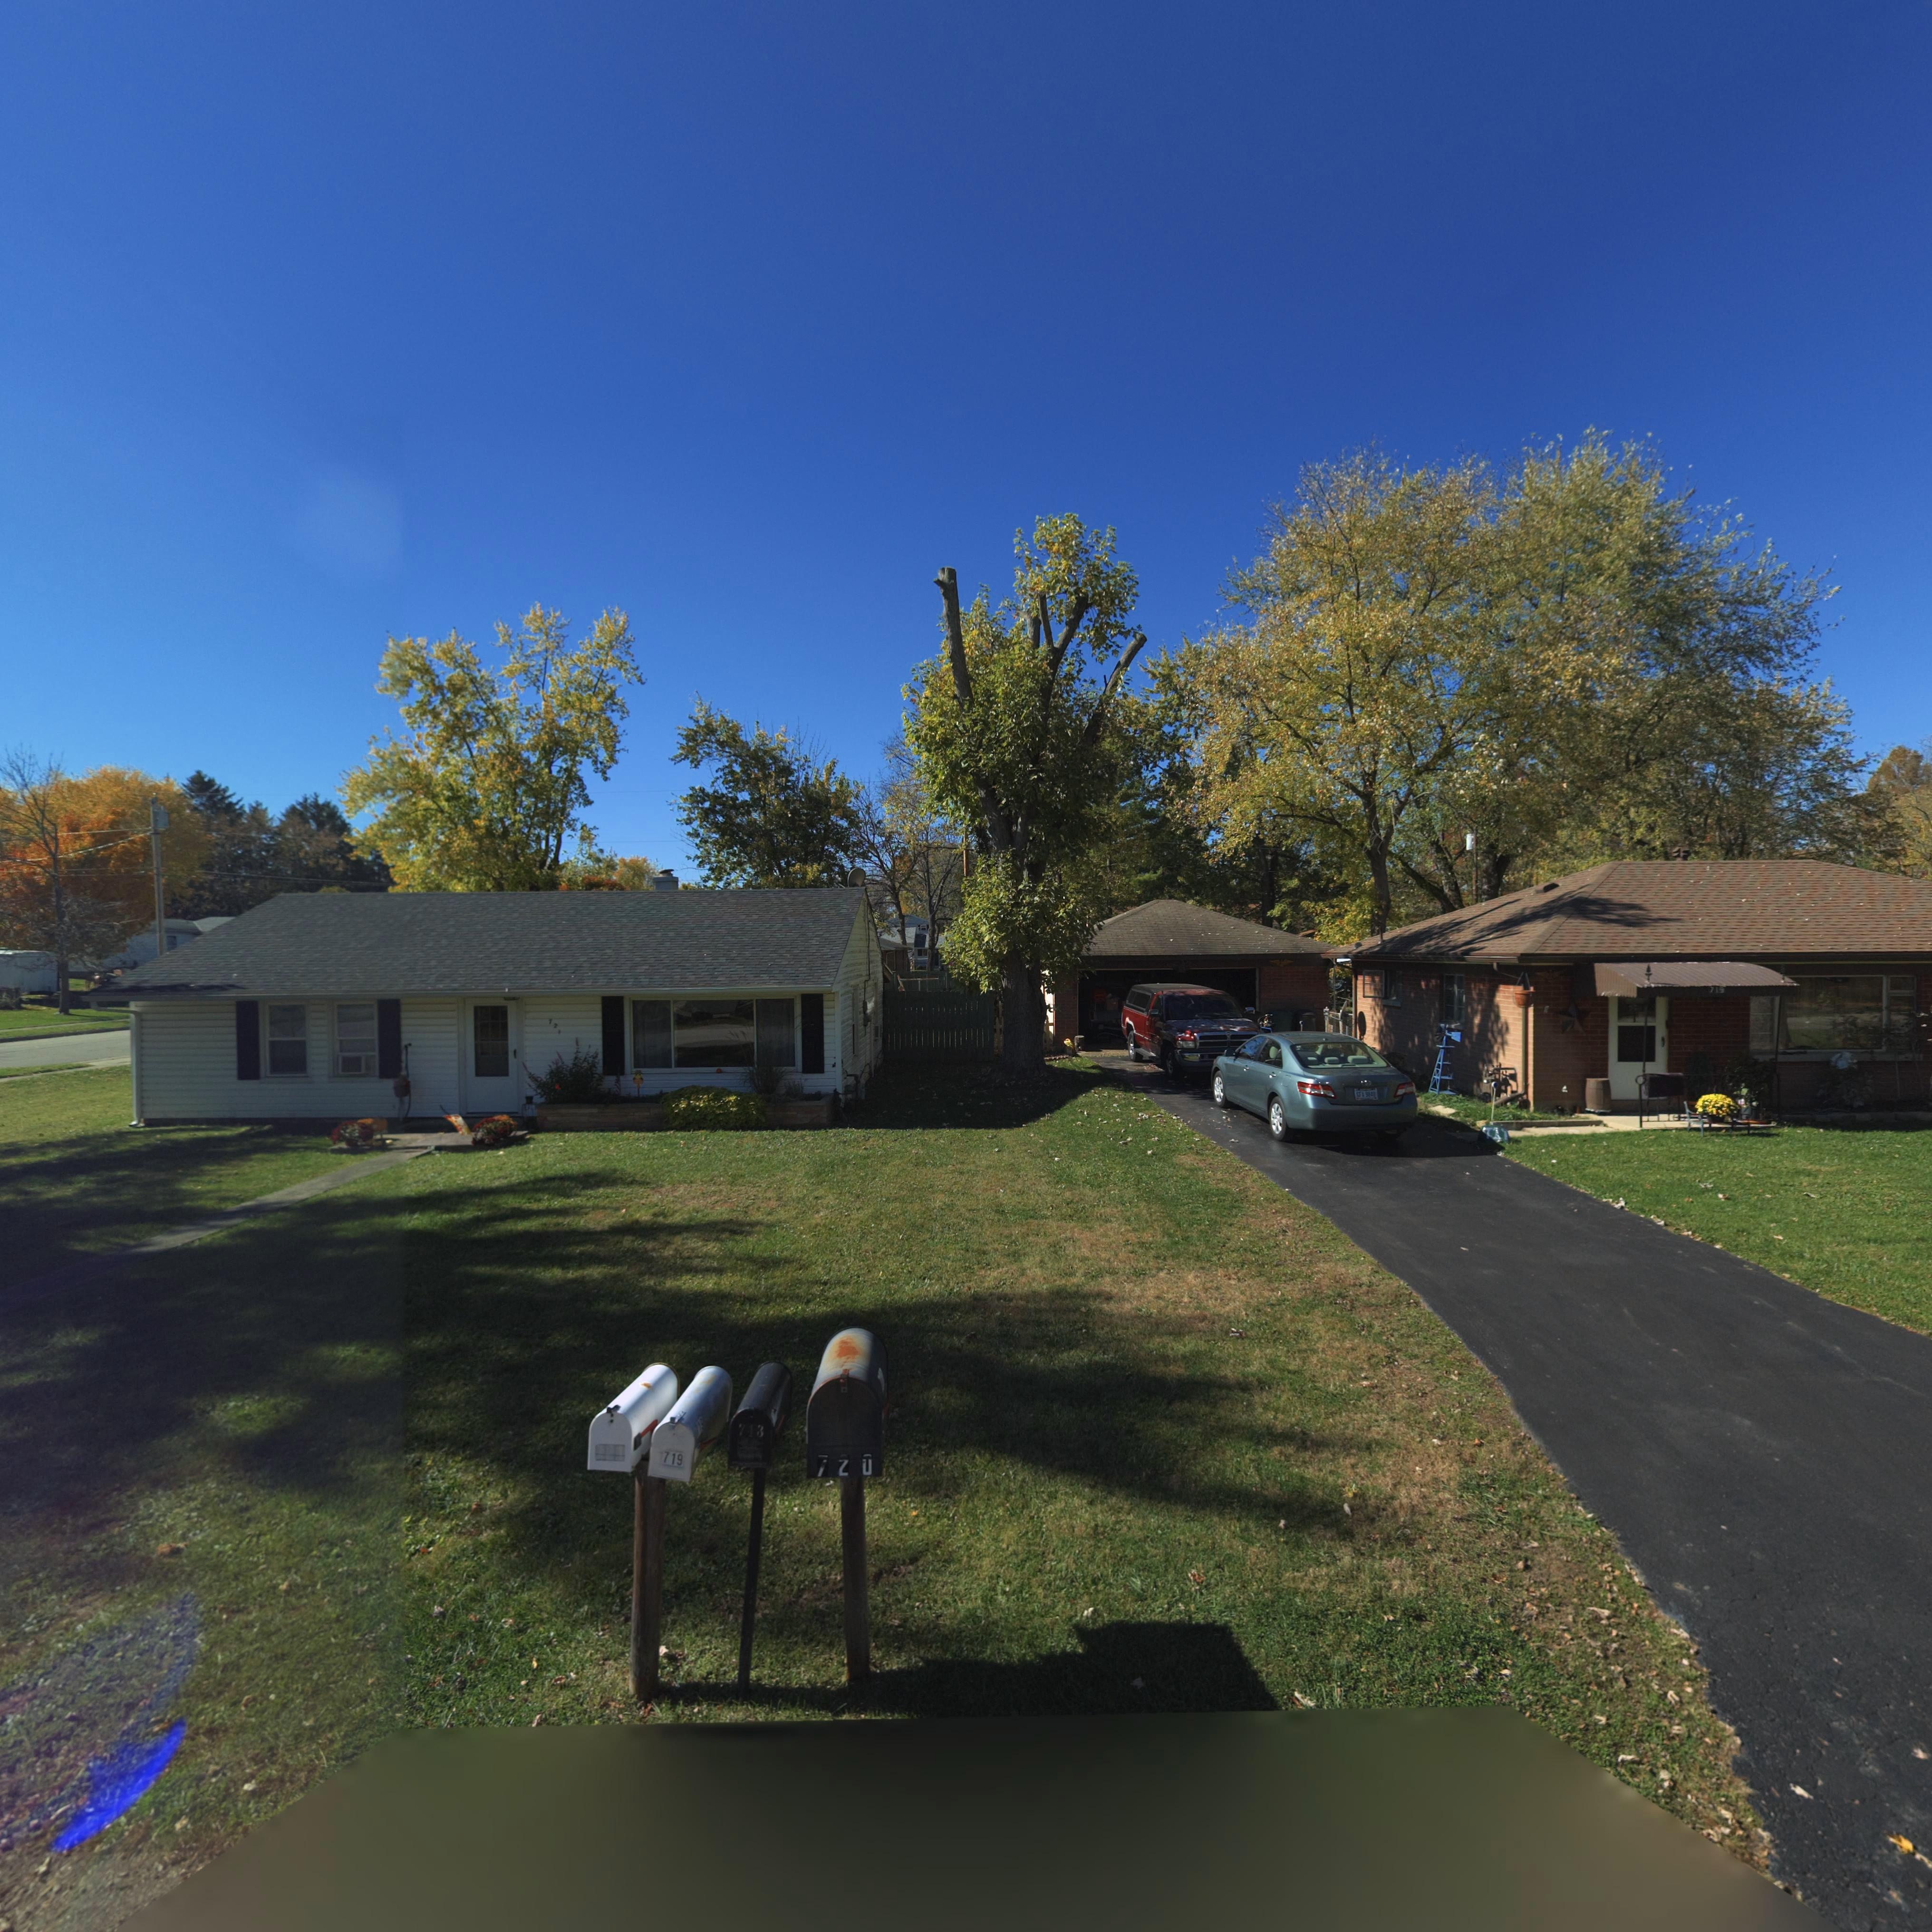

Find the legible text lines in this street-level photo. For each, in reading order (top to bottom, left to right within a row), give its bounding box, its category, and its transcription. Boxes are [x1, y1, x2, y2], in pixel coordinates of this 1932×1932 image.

[1709, 986, 1725, 994] StreetNumber: 719
[548, 1018, 561, 1035] StreetNumber: 721
[696, 1417, 705, 1435] StreetNumber: 19
[738, 1422, 764, 1439] StreetNumber: 713
[662, 1450, 684, 1467] StreetNumber: 719
[816, 1453, 873, 1477] StreetNumber: 720